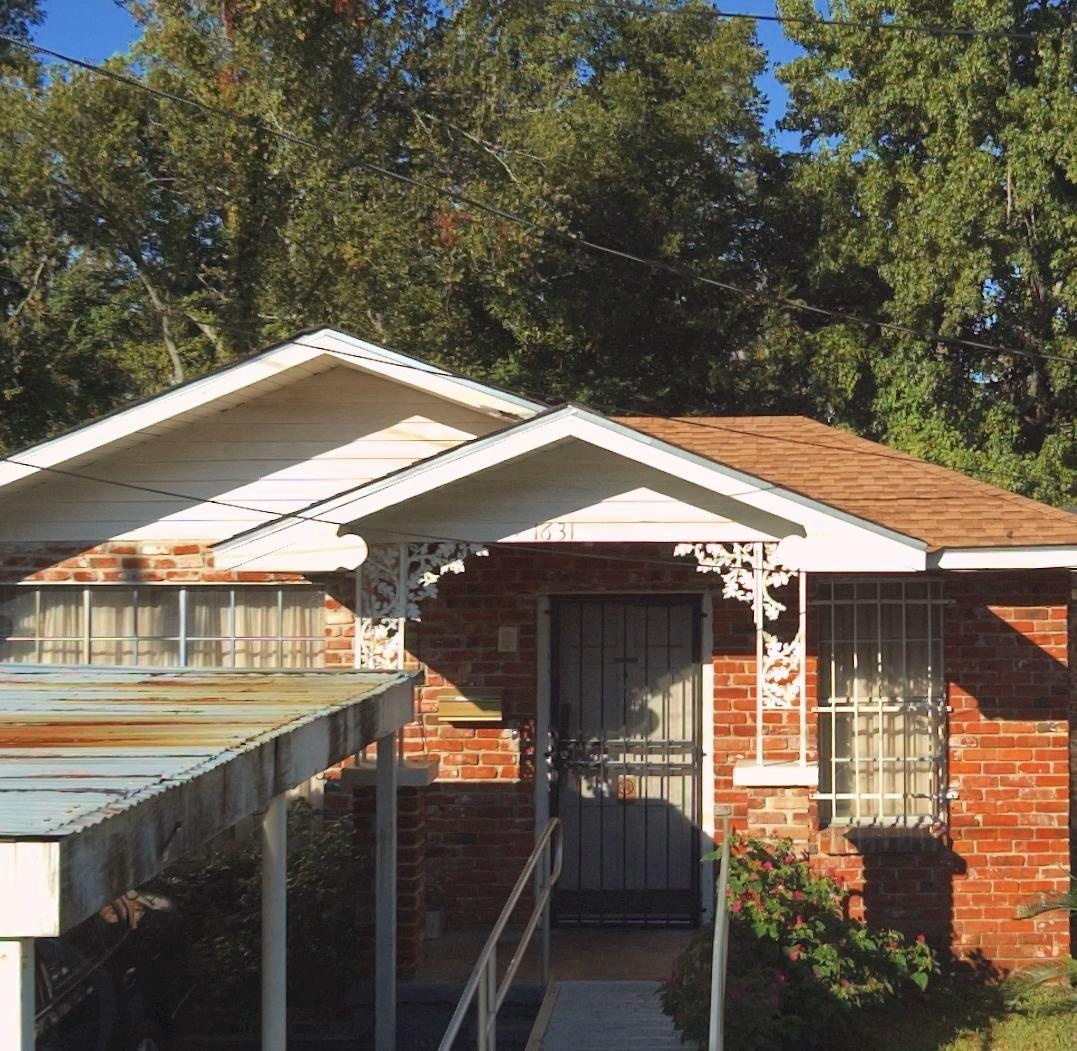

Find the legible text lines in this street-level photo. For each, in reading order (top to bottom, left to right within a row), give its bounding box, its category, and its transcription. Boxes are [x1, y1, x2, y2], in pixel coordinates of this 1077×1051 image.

[533, 521, 576, 542] StreetNumber: 1631